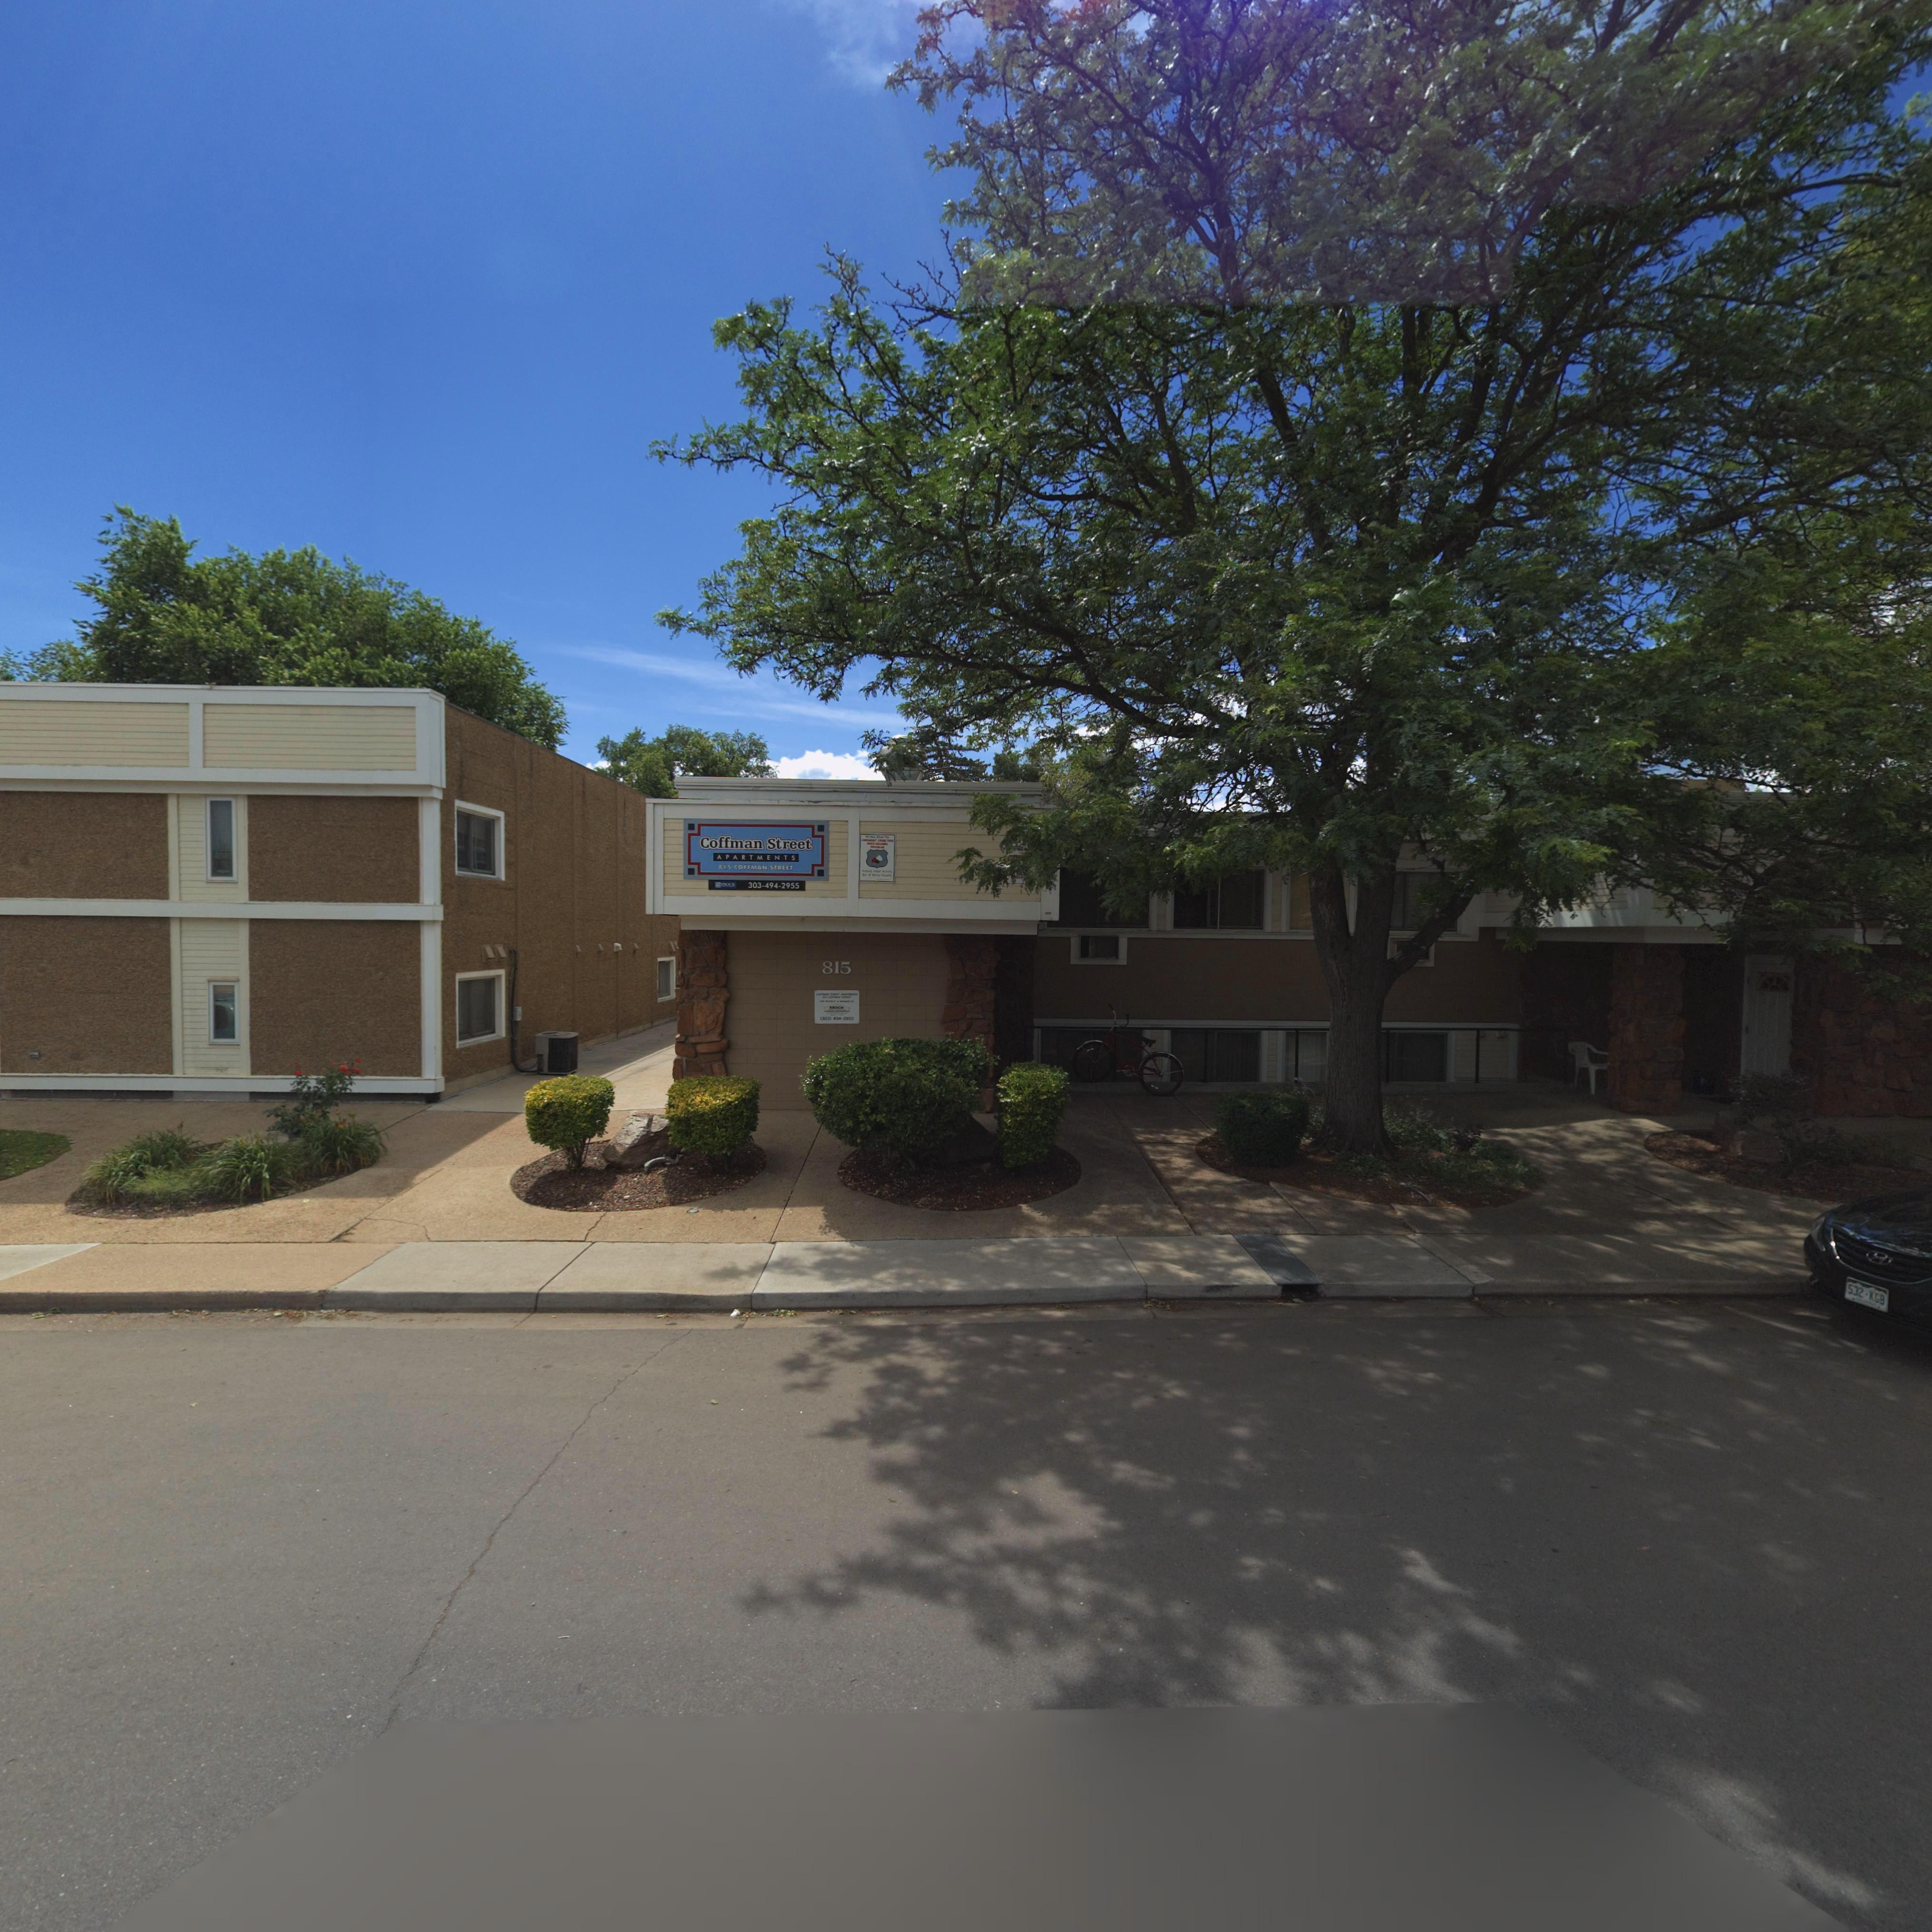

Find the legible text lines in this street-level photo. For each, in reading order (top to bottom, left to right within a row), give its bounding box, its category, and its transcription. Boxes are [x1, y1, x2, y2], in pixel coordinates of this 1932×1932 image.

[700, 837, 811, 850] BusinessName: Coffman Street
[717, 855, 795, 860] BusinessName: APARTMENTS
[718, 864, 731, 869] StreetNumber: 815
[734, 865, 793, 870] StreetName: COFFMAN STREET
[822, 961, 850, 974] StreetNumber: 815